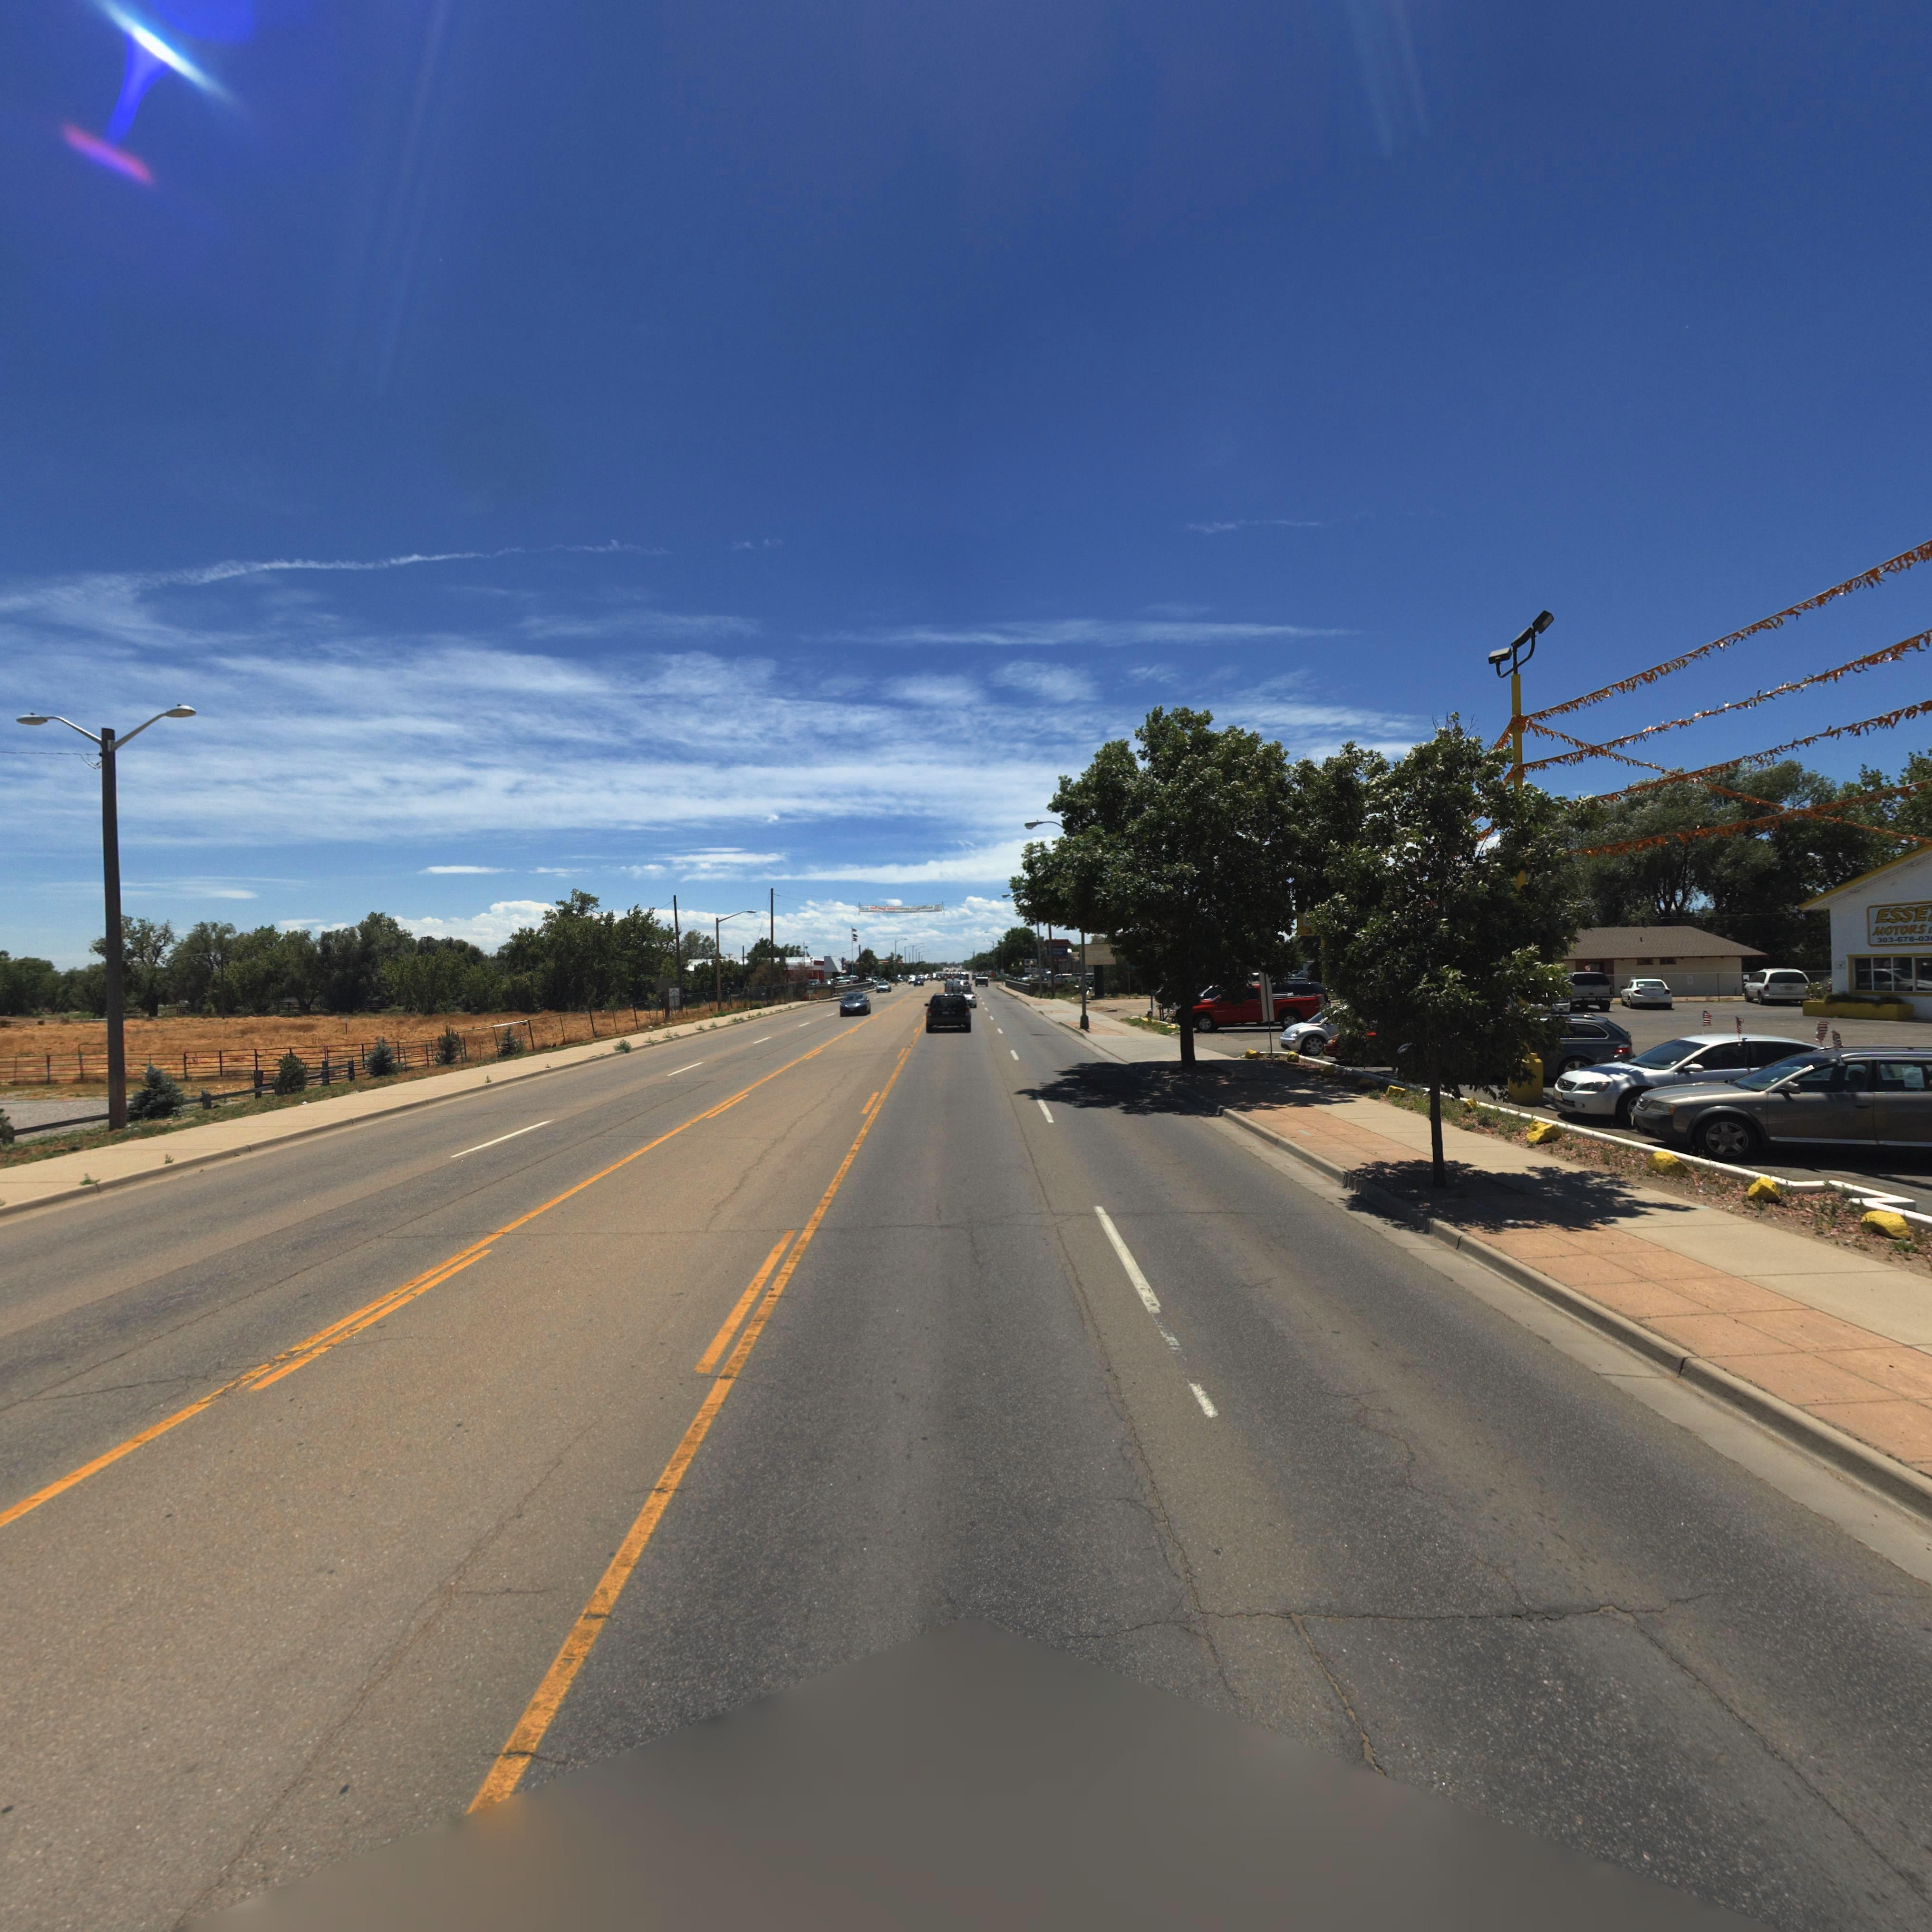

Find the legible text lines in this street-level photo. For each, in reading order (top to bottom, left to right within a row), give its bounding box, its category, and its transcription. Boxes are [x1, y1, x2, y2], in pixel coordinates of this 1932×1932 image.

[1875, 905, 1930, 924] BusinessName: ESSE*
[1871, 924, 1927, 937] BusinessName: MOTORS